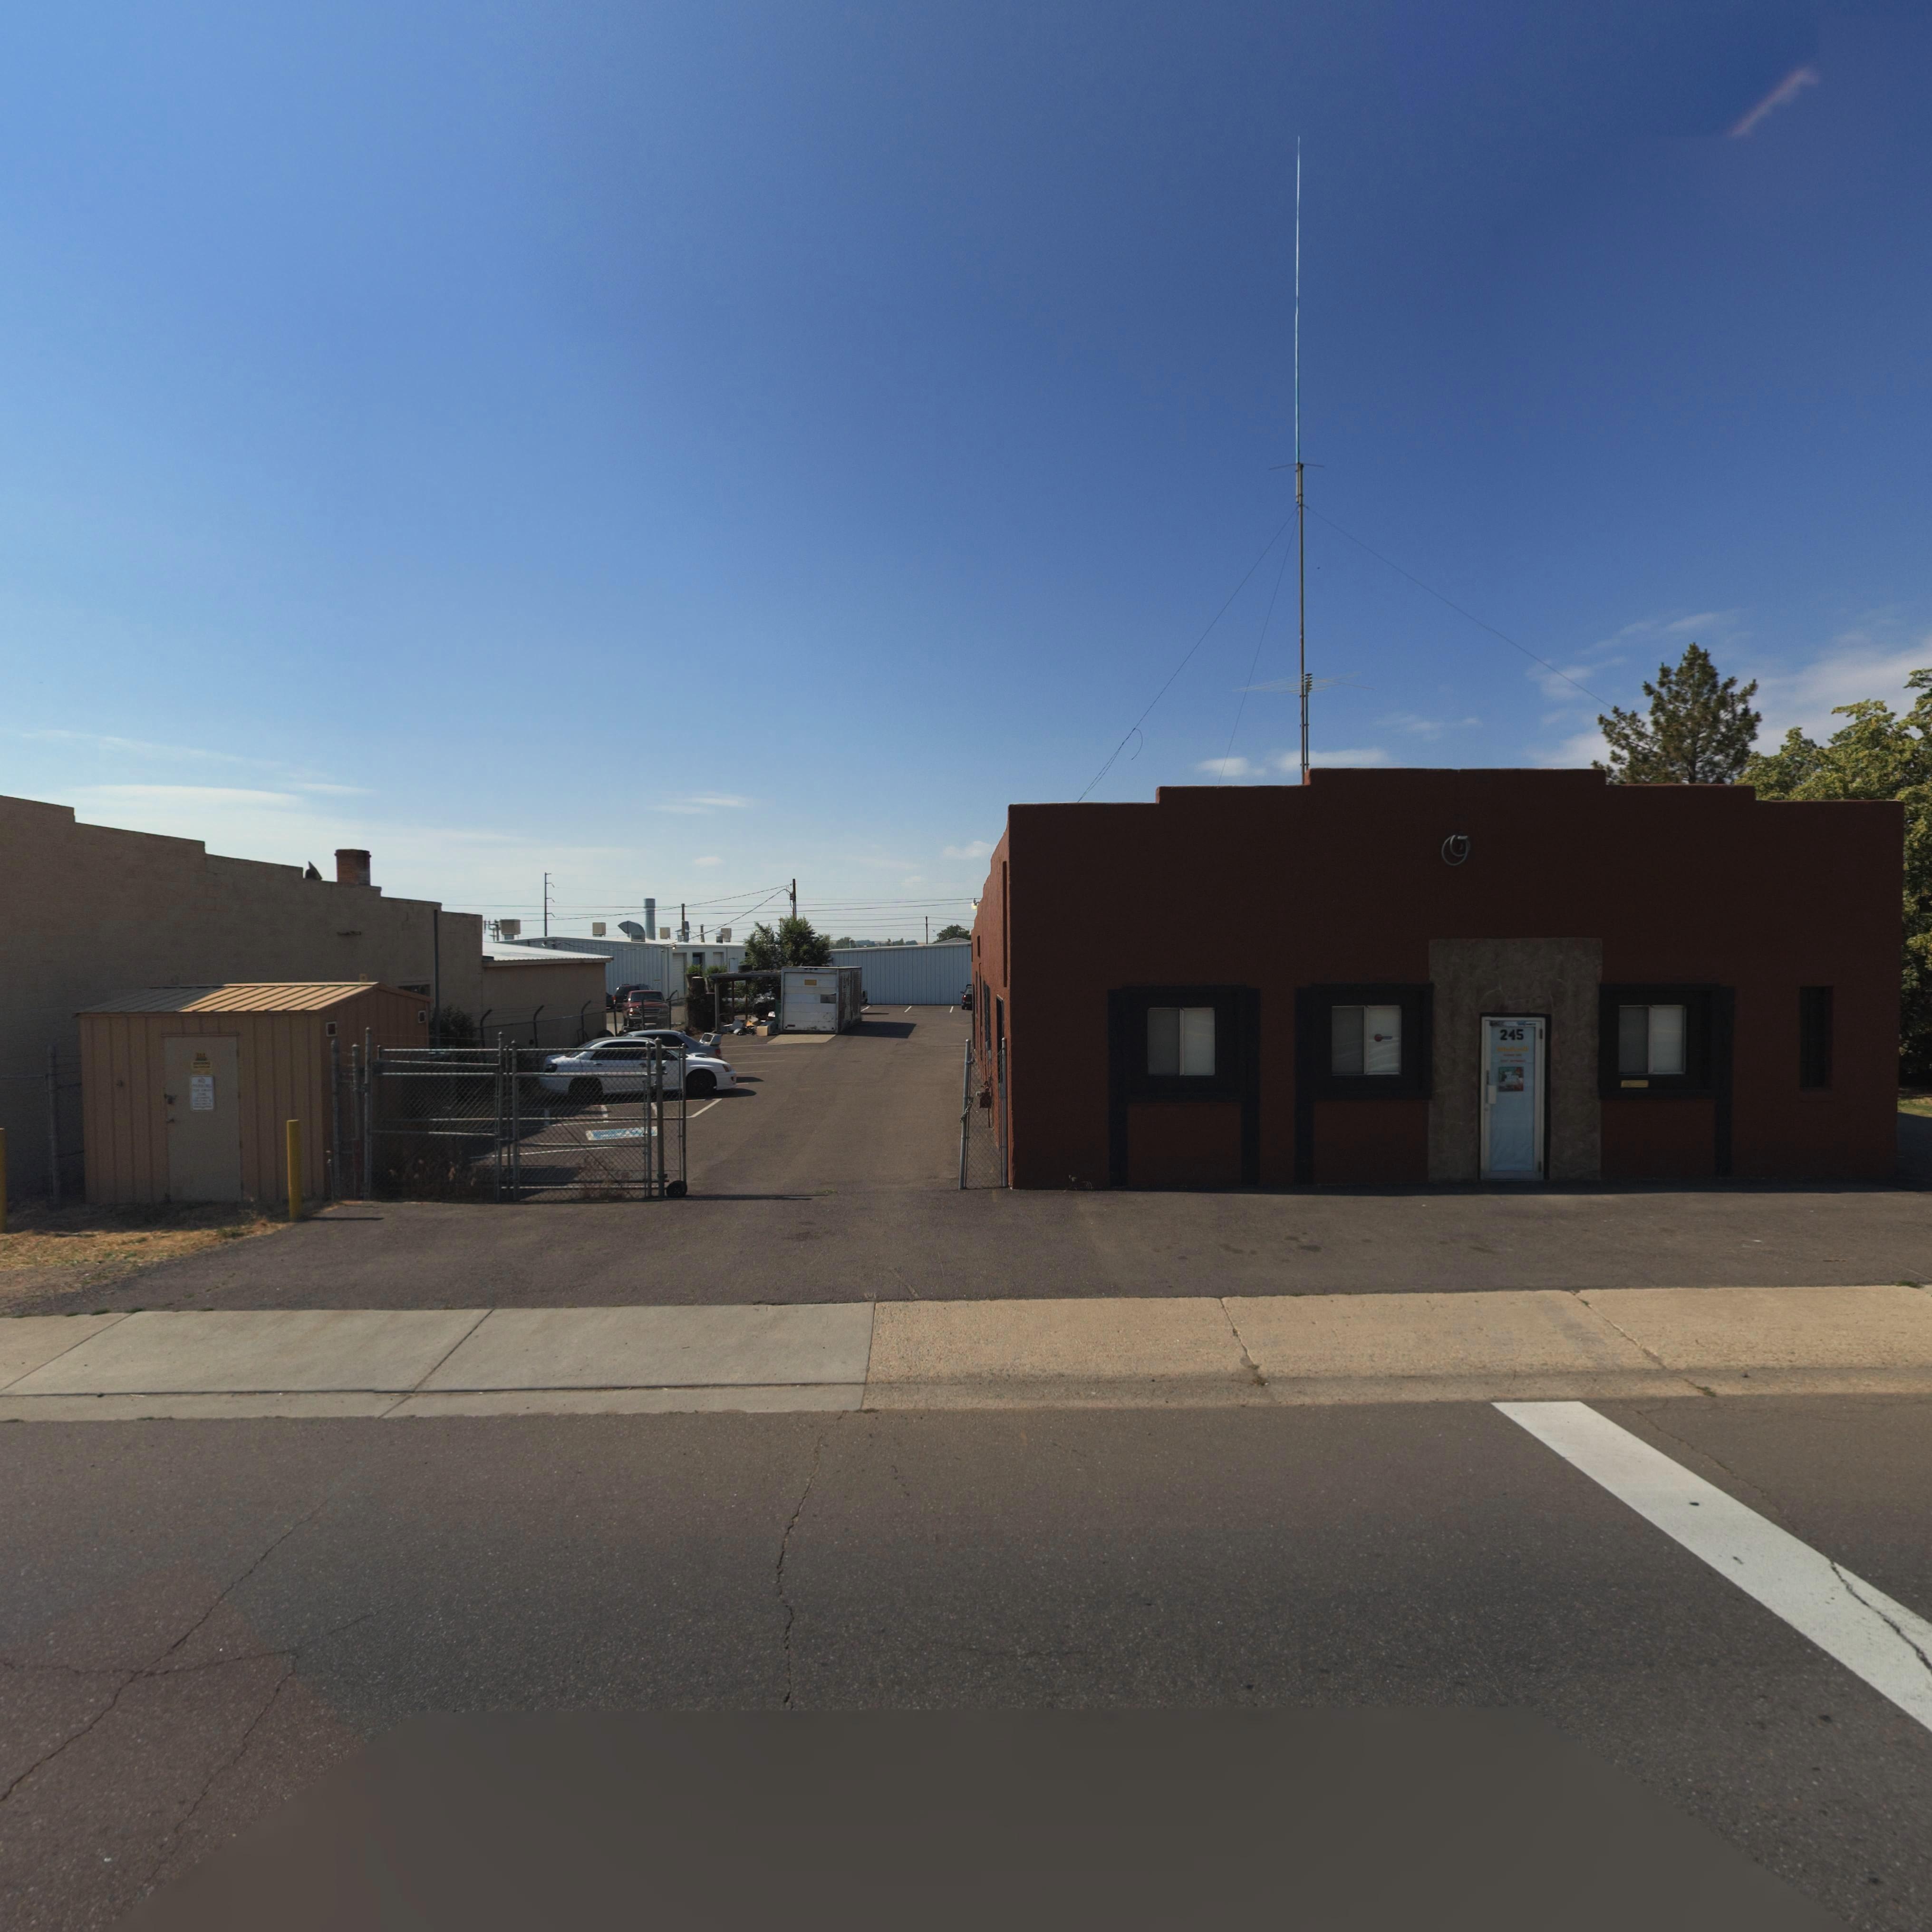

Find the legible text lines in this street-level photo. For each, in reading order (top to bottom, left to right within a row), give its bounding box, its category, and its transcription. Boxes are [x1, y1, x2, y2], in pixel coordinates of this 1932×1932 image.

[1498, 1028, 1524, 1041] StreetNumber: 245